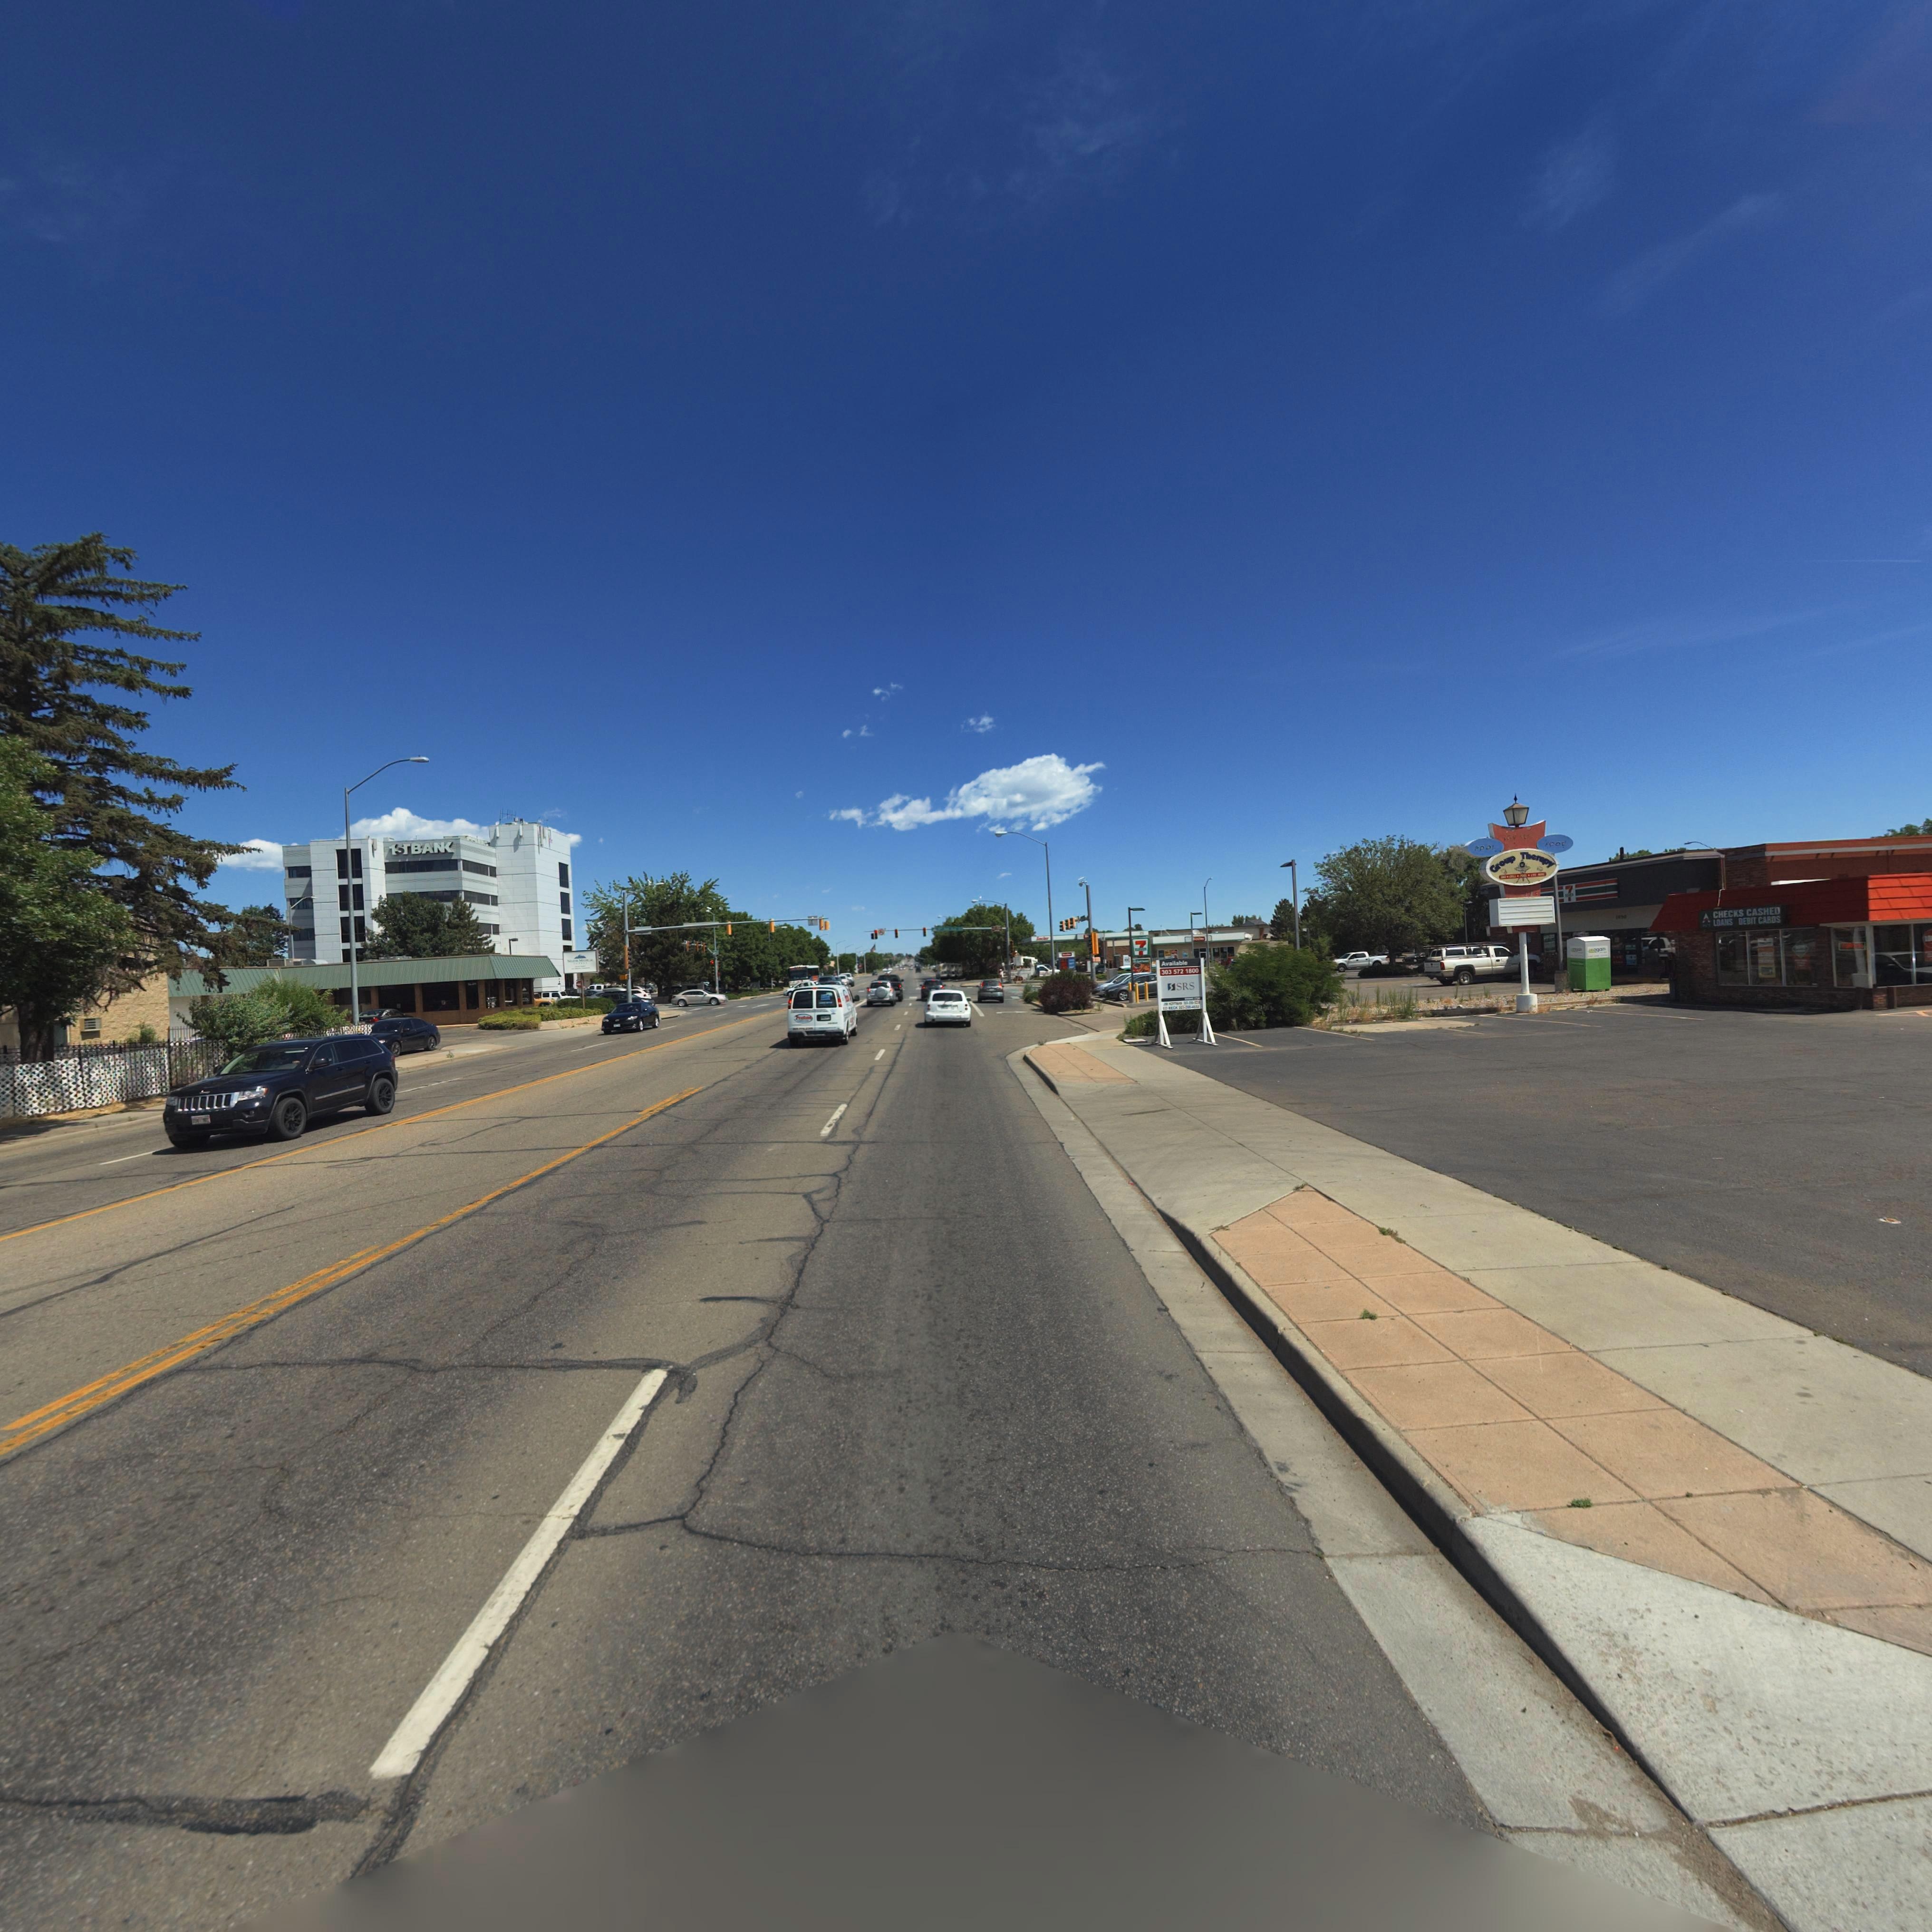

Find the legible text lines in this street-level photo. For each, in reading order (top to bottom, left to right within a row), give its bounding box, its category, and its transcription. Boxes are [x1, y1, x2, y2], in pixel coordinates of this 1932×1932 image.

[388, 840, 455, 856] BusinessName: 1STBAN*
[1489, 850, 1556, 873] BusinessName: Group Therapy
[1565, 885, 1573, 902] BusinessName: 7
[1615, 914, 1627, 919] StreetNumber: 1*50
[1193, 937, 1204, 940] BusinessName: **d***
[1135, 939, 1147, 956] BusinessName: 7